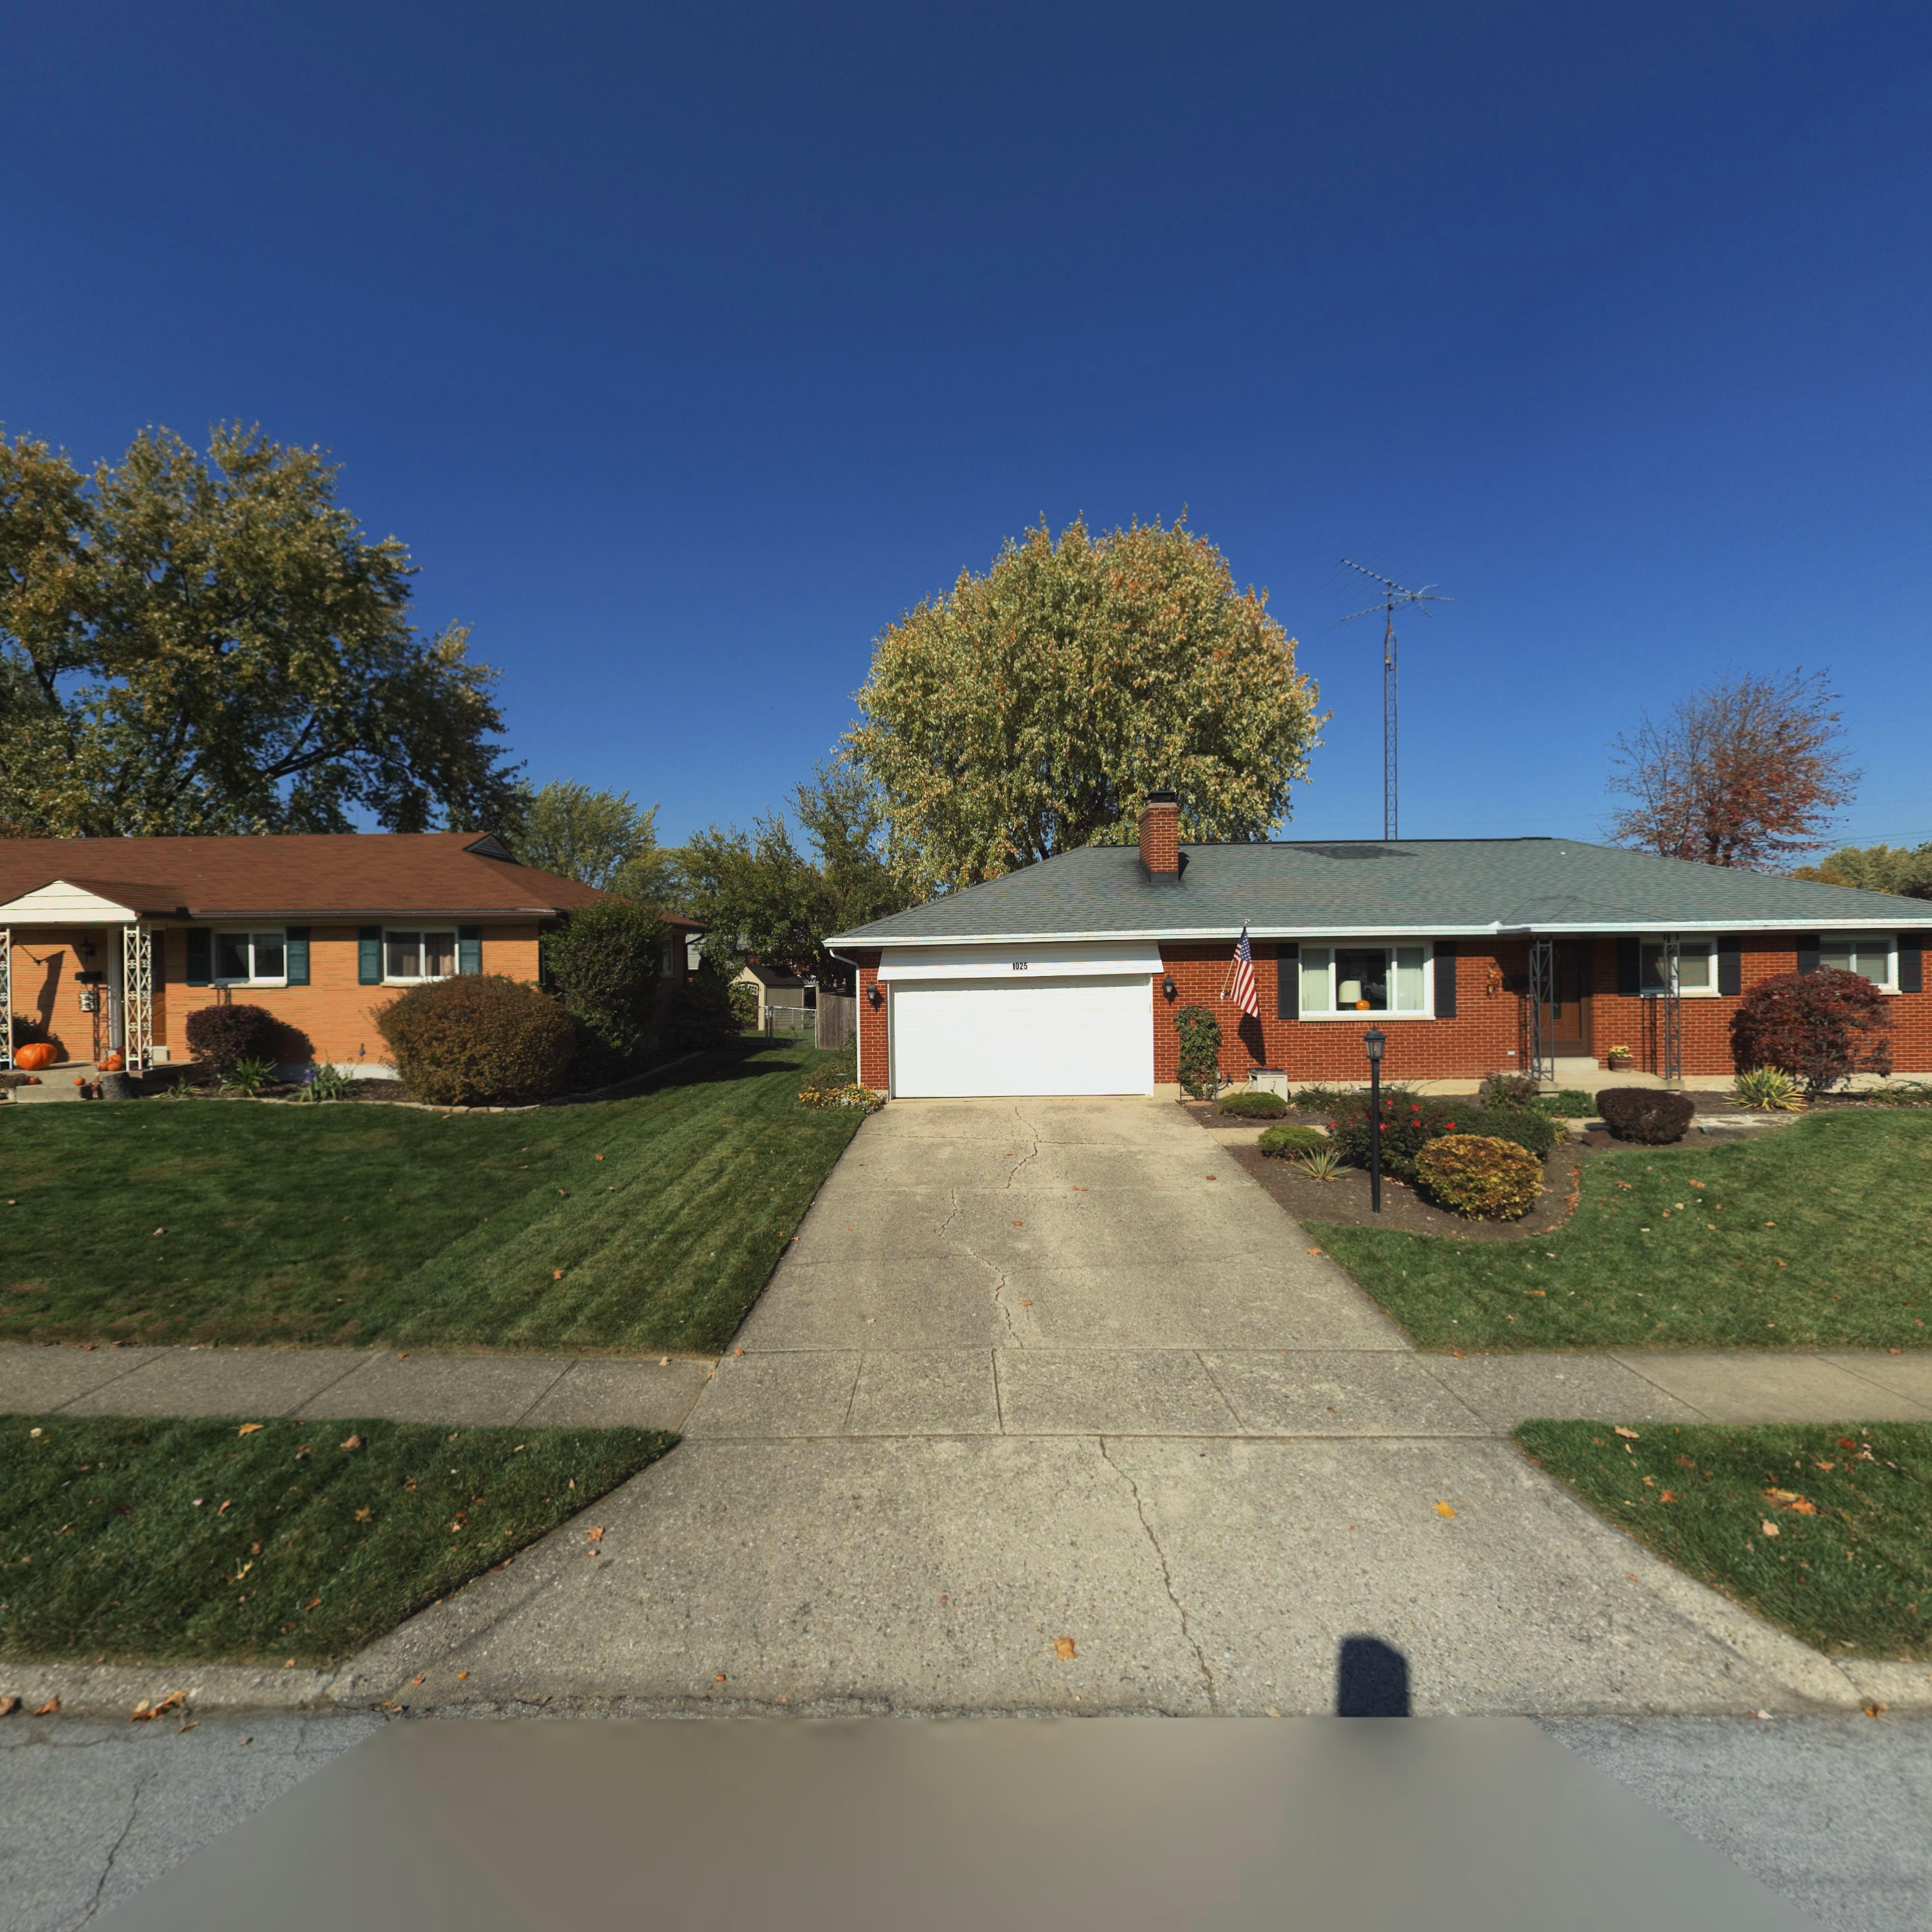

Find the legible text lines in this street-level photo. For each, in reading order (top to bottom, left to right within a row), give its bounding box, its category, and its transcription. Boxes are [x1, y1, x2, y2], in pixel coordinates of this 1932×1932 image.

[1012, 962, 1028, 970] StreetNumber: 1025